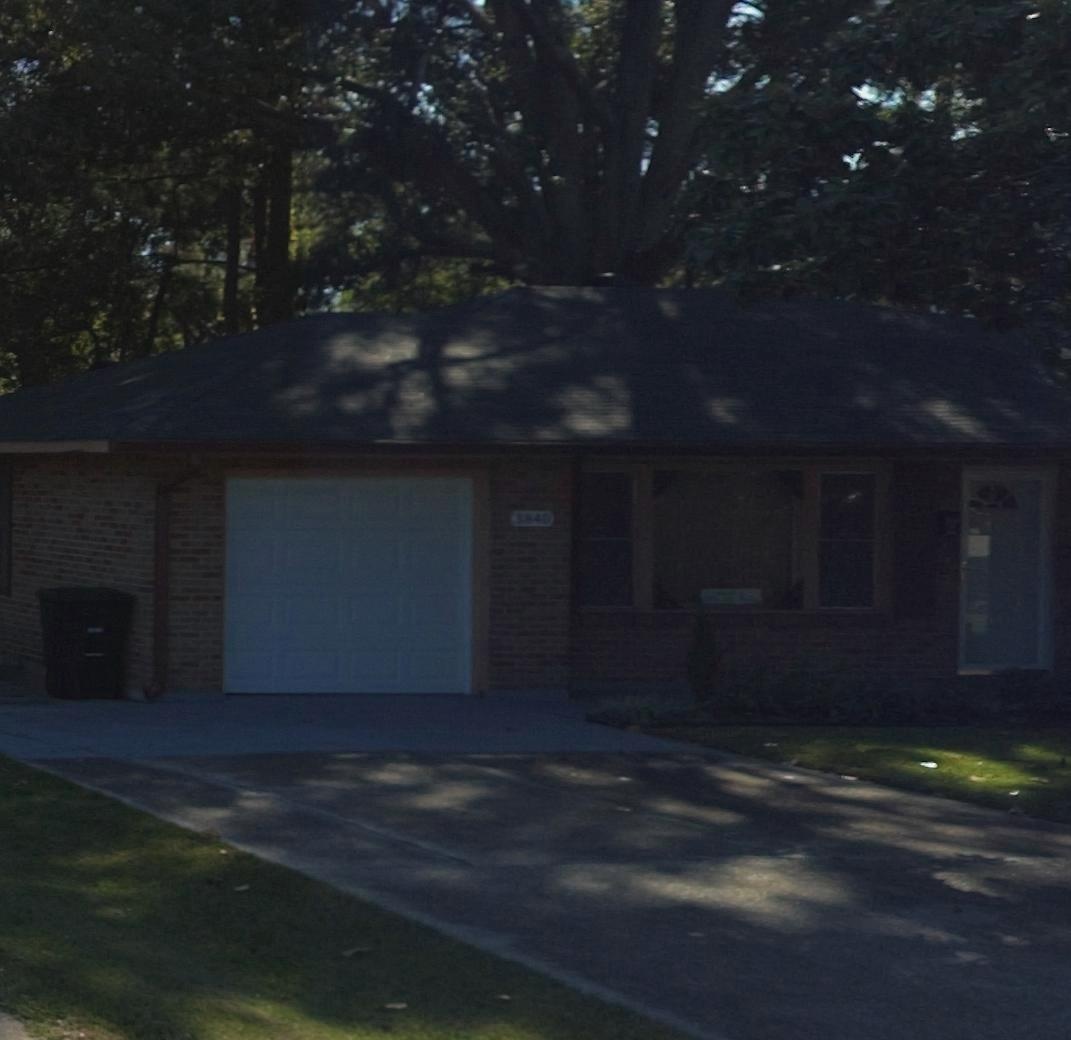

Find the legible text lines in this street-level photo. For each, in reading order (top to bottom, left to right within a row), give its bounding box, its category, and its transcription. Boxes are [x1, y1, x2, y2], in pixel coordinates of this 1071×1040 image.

[512, 511, 553, 525] StreetNumber: 3840